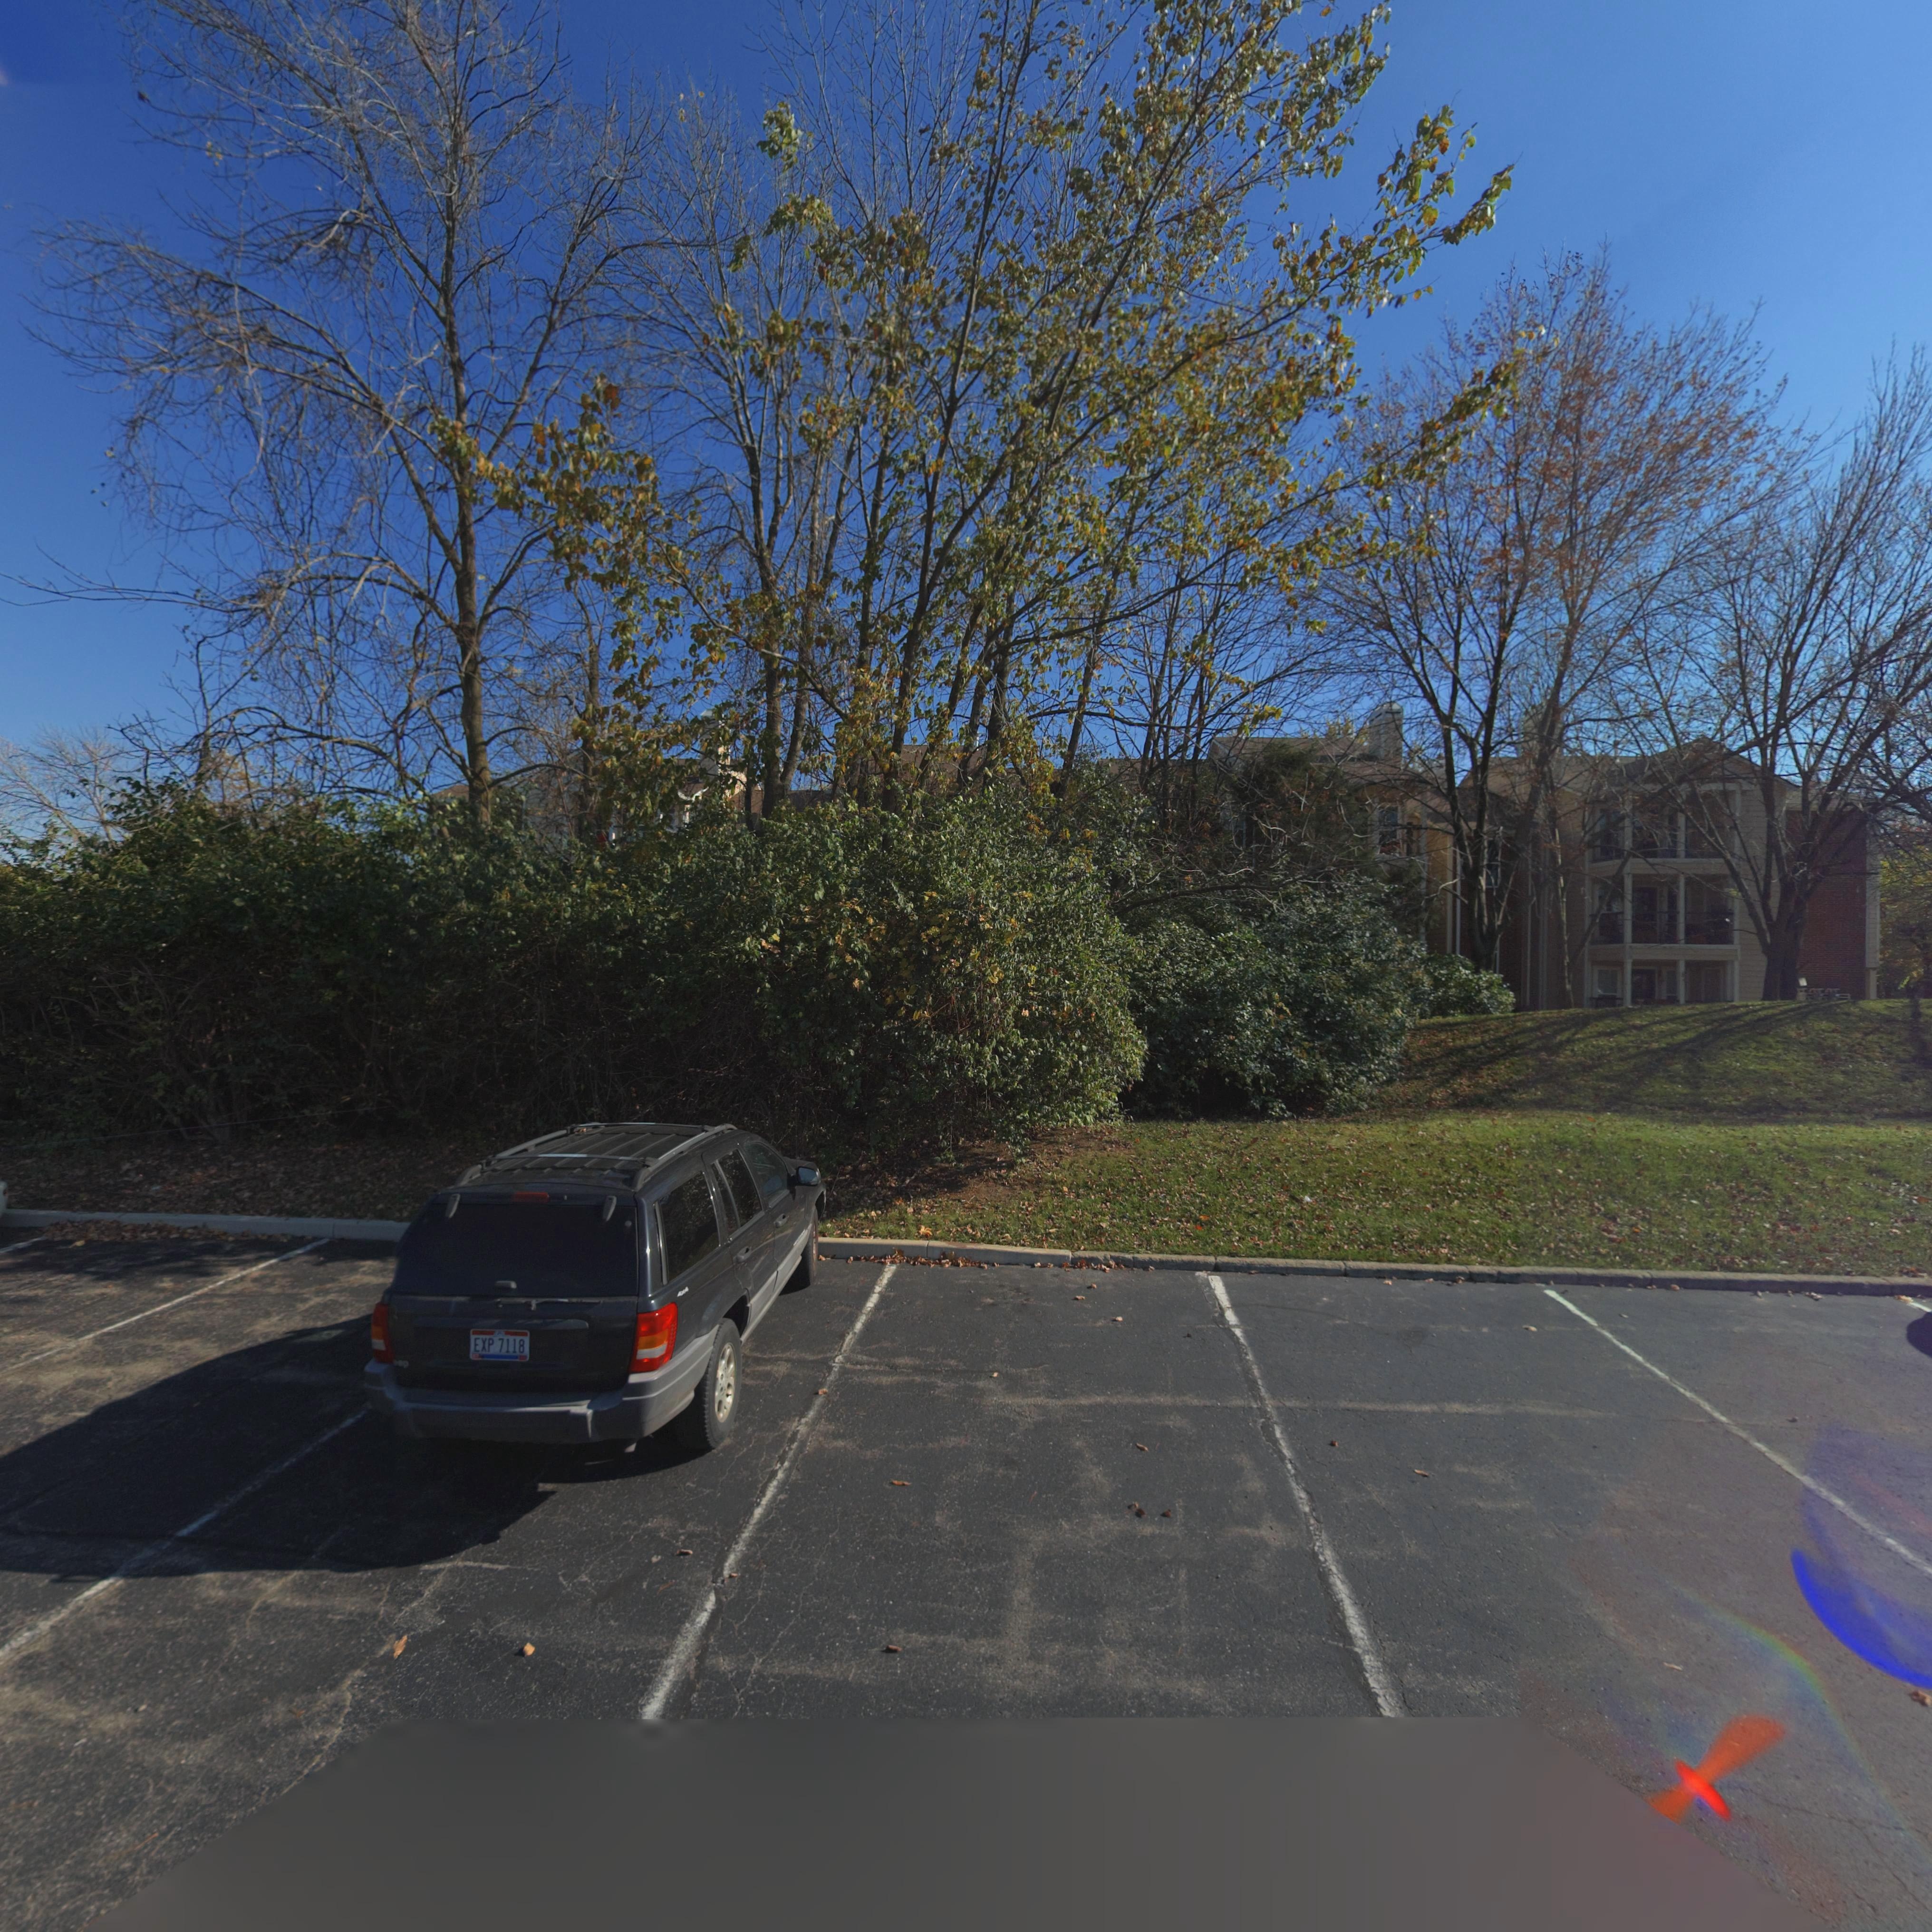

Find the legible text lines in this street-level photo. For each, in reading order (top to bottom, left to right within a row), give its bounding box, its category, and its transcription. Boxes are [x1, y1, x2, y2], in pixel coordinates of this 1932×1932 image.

[676, 1285, 690, 1299] None: 4x4
[473, 1337, 525, 1353] None: EXP 7118